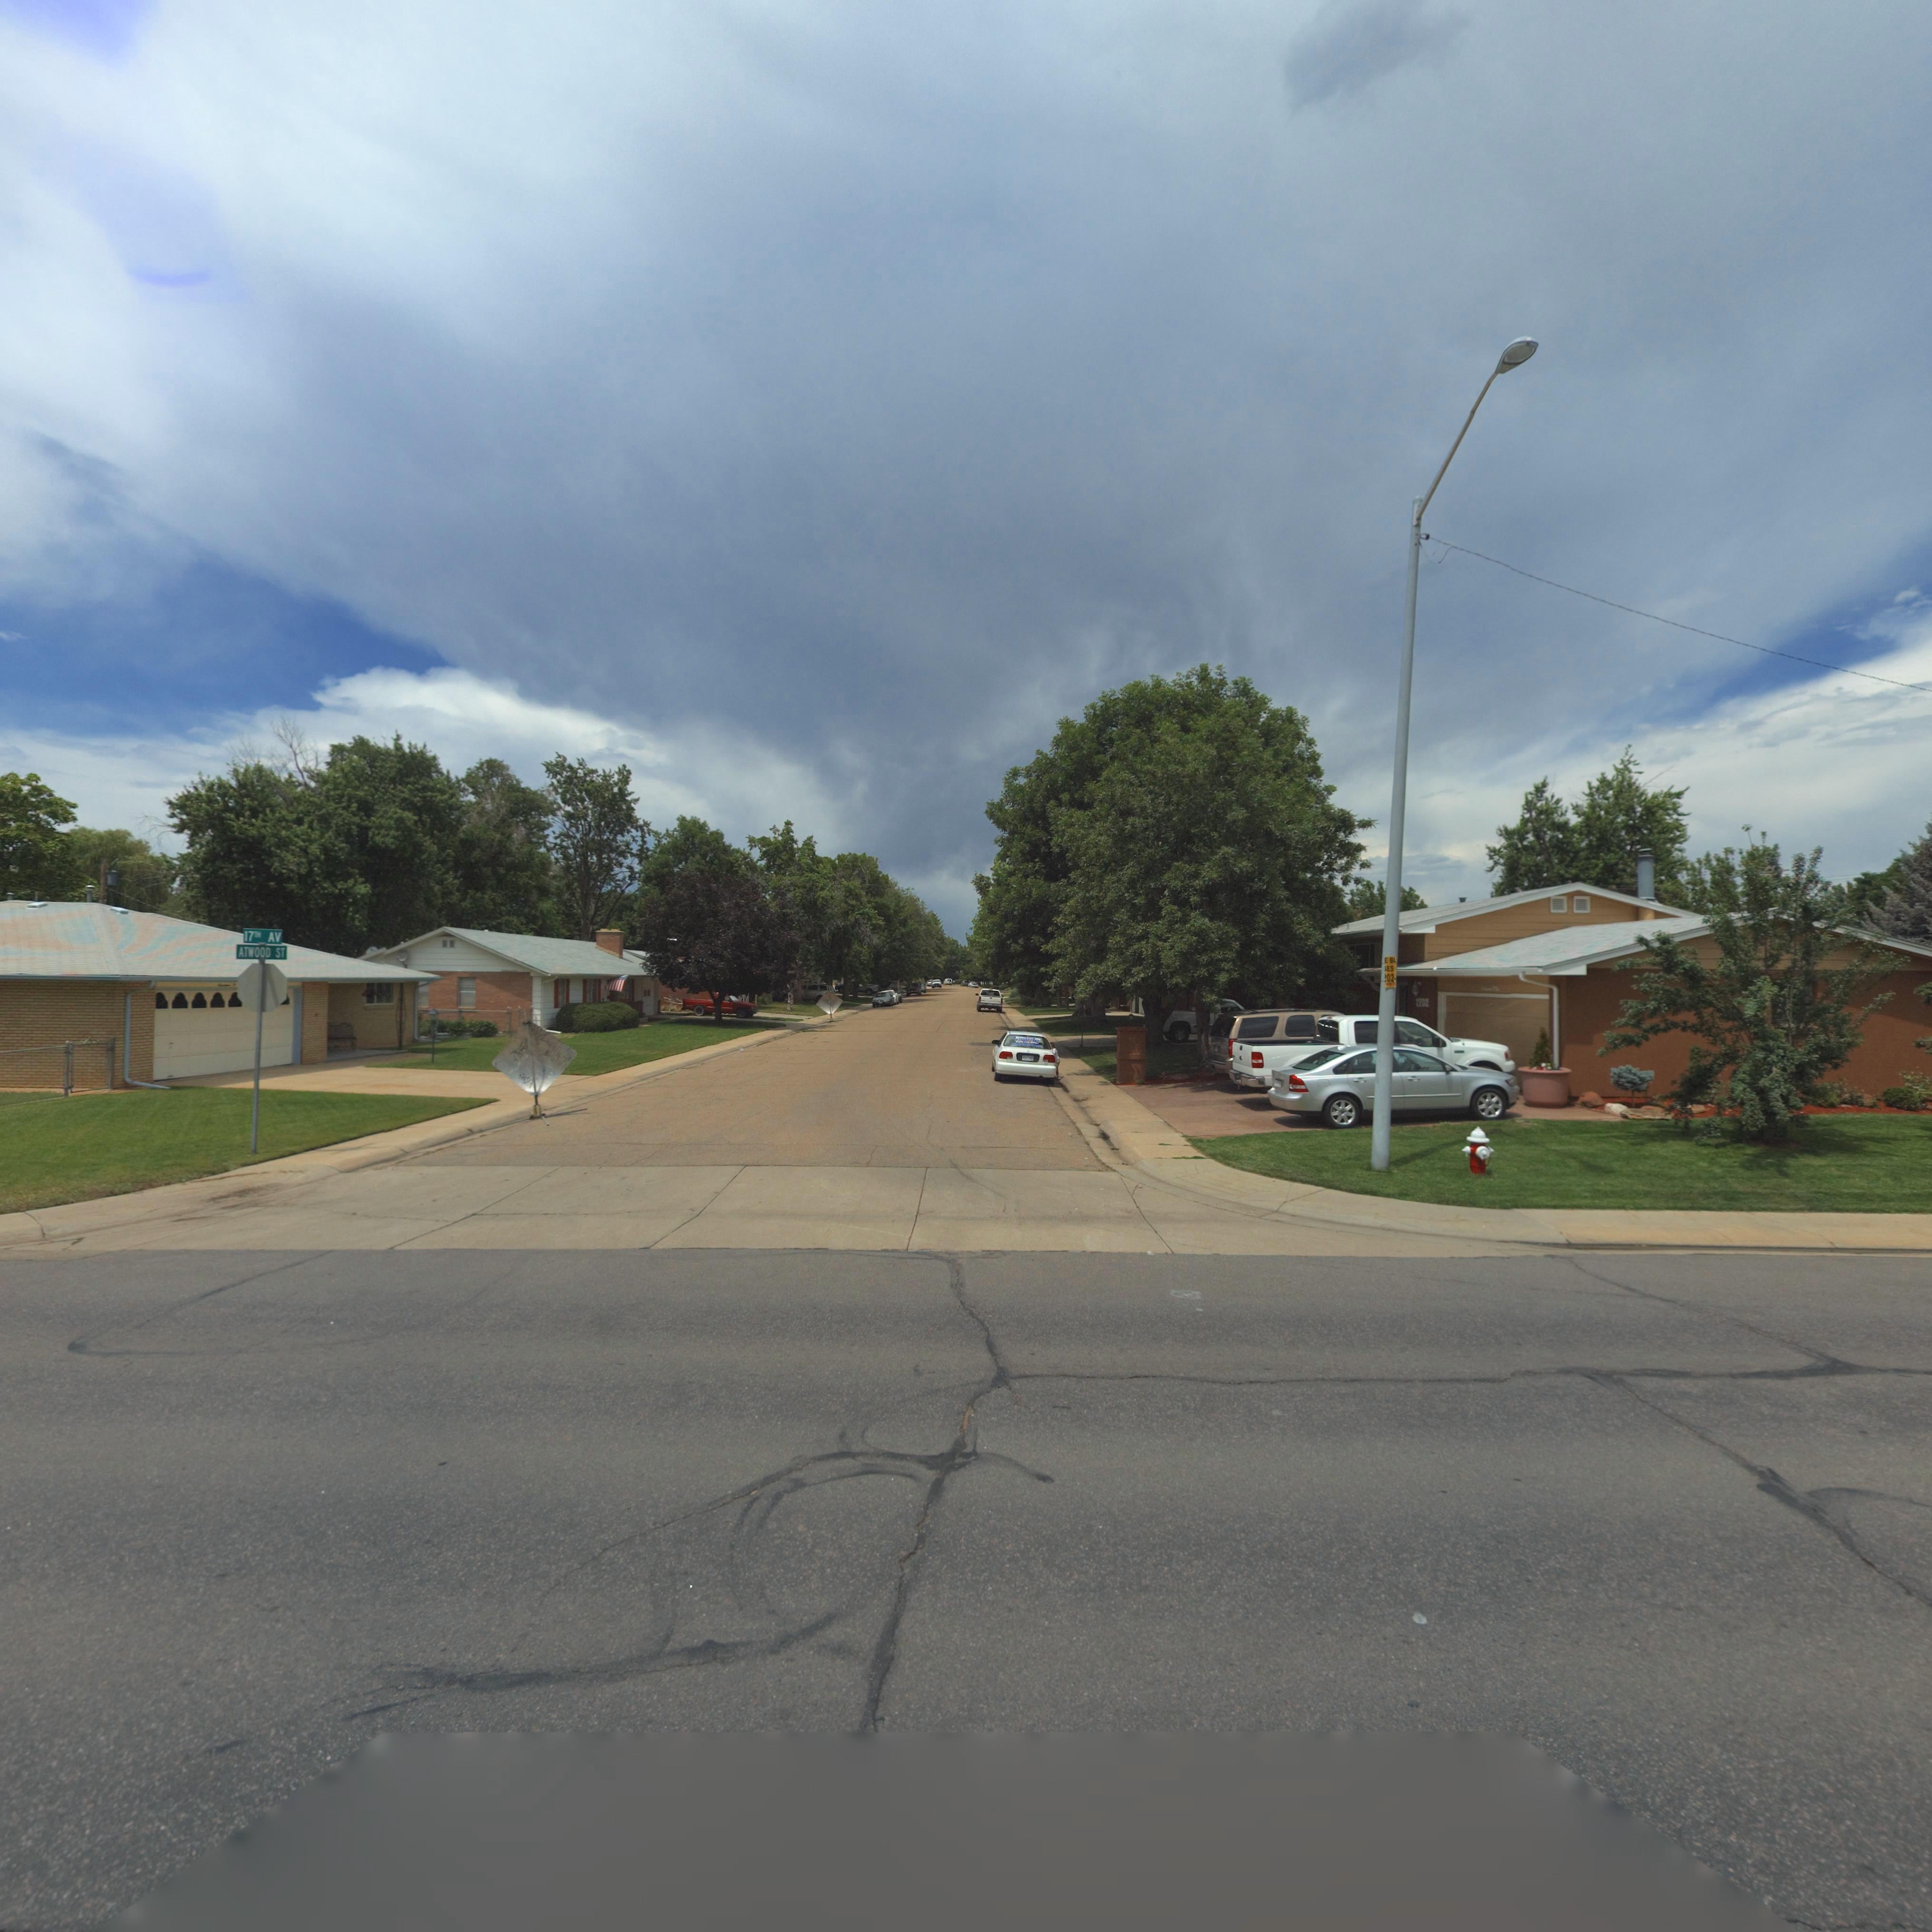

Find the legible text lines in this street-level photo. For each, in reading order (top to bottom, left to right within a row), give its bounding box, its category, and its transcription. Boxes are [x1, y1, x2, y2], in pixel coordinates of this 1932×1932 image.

[244, 931, 282, 943] StreetName: 17TH AV
[239, 947, 285, 958] StreetName: ATWOOD ST
[1415, 998, 1429, 1007] StreetNumber: 1702